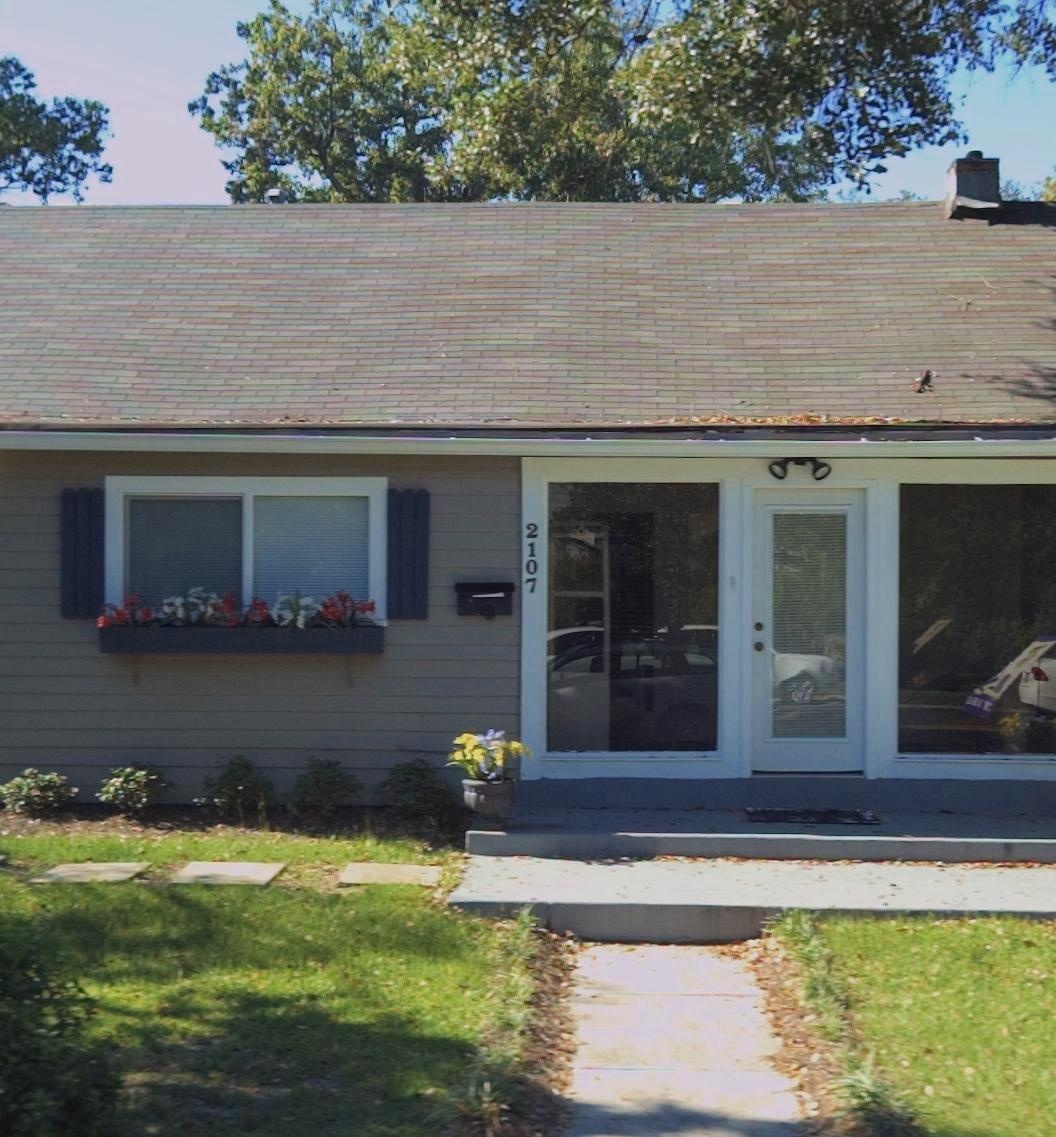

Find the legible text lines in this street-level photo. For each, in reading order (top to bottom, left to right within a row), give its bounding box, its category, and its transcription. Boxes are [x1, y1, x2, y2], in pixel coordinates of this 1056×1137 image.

[523, 520, 541, 596] StreetNumber: 2107